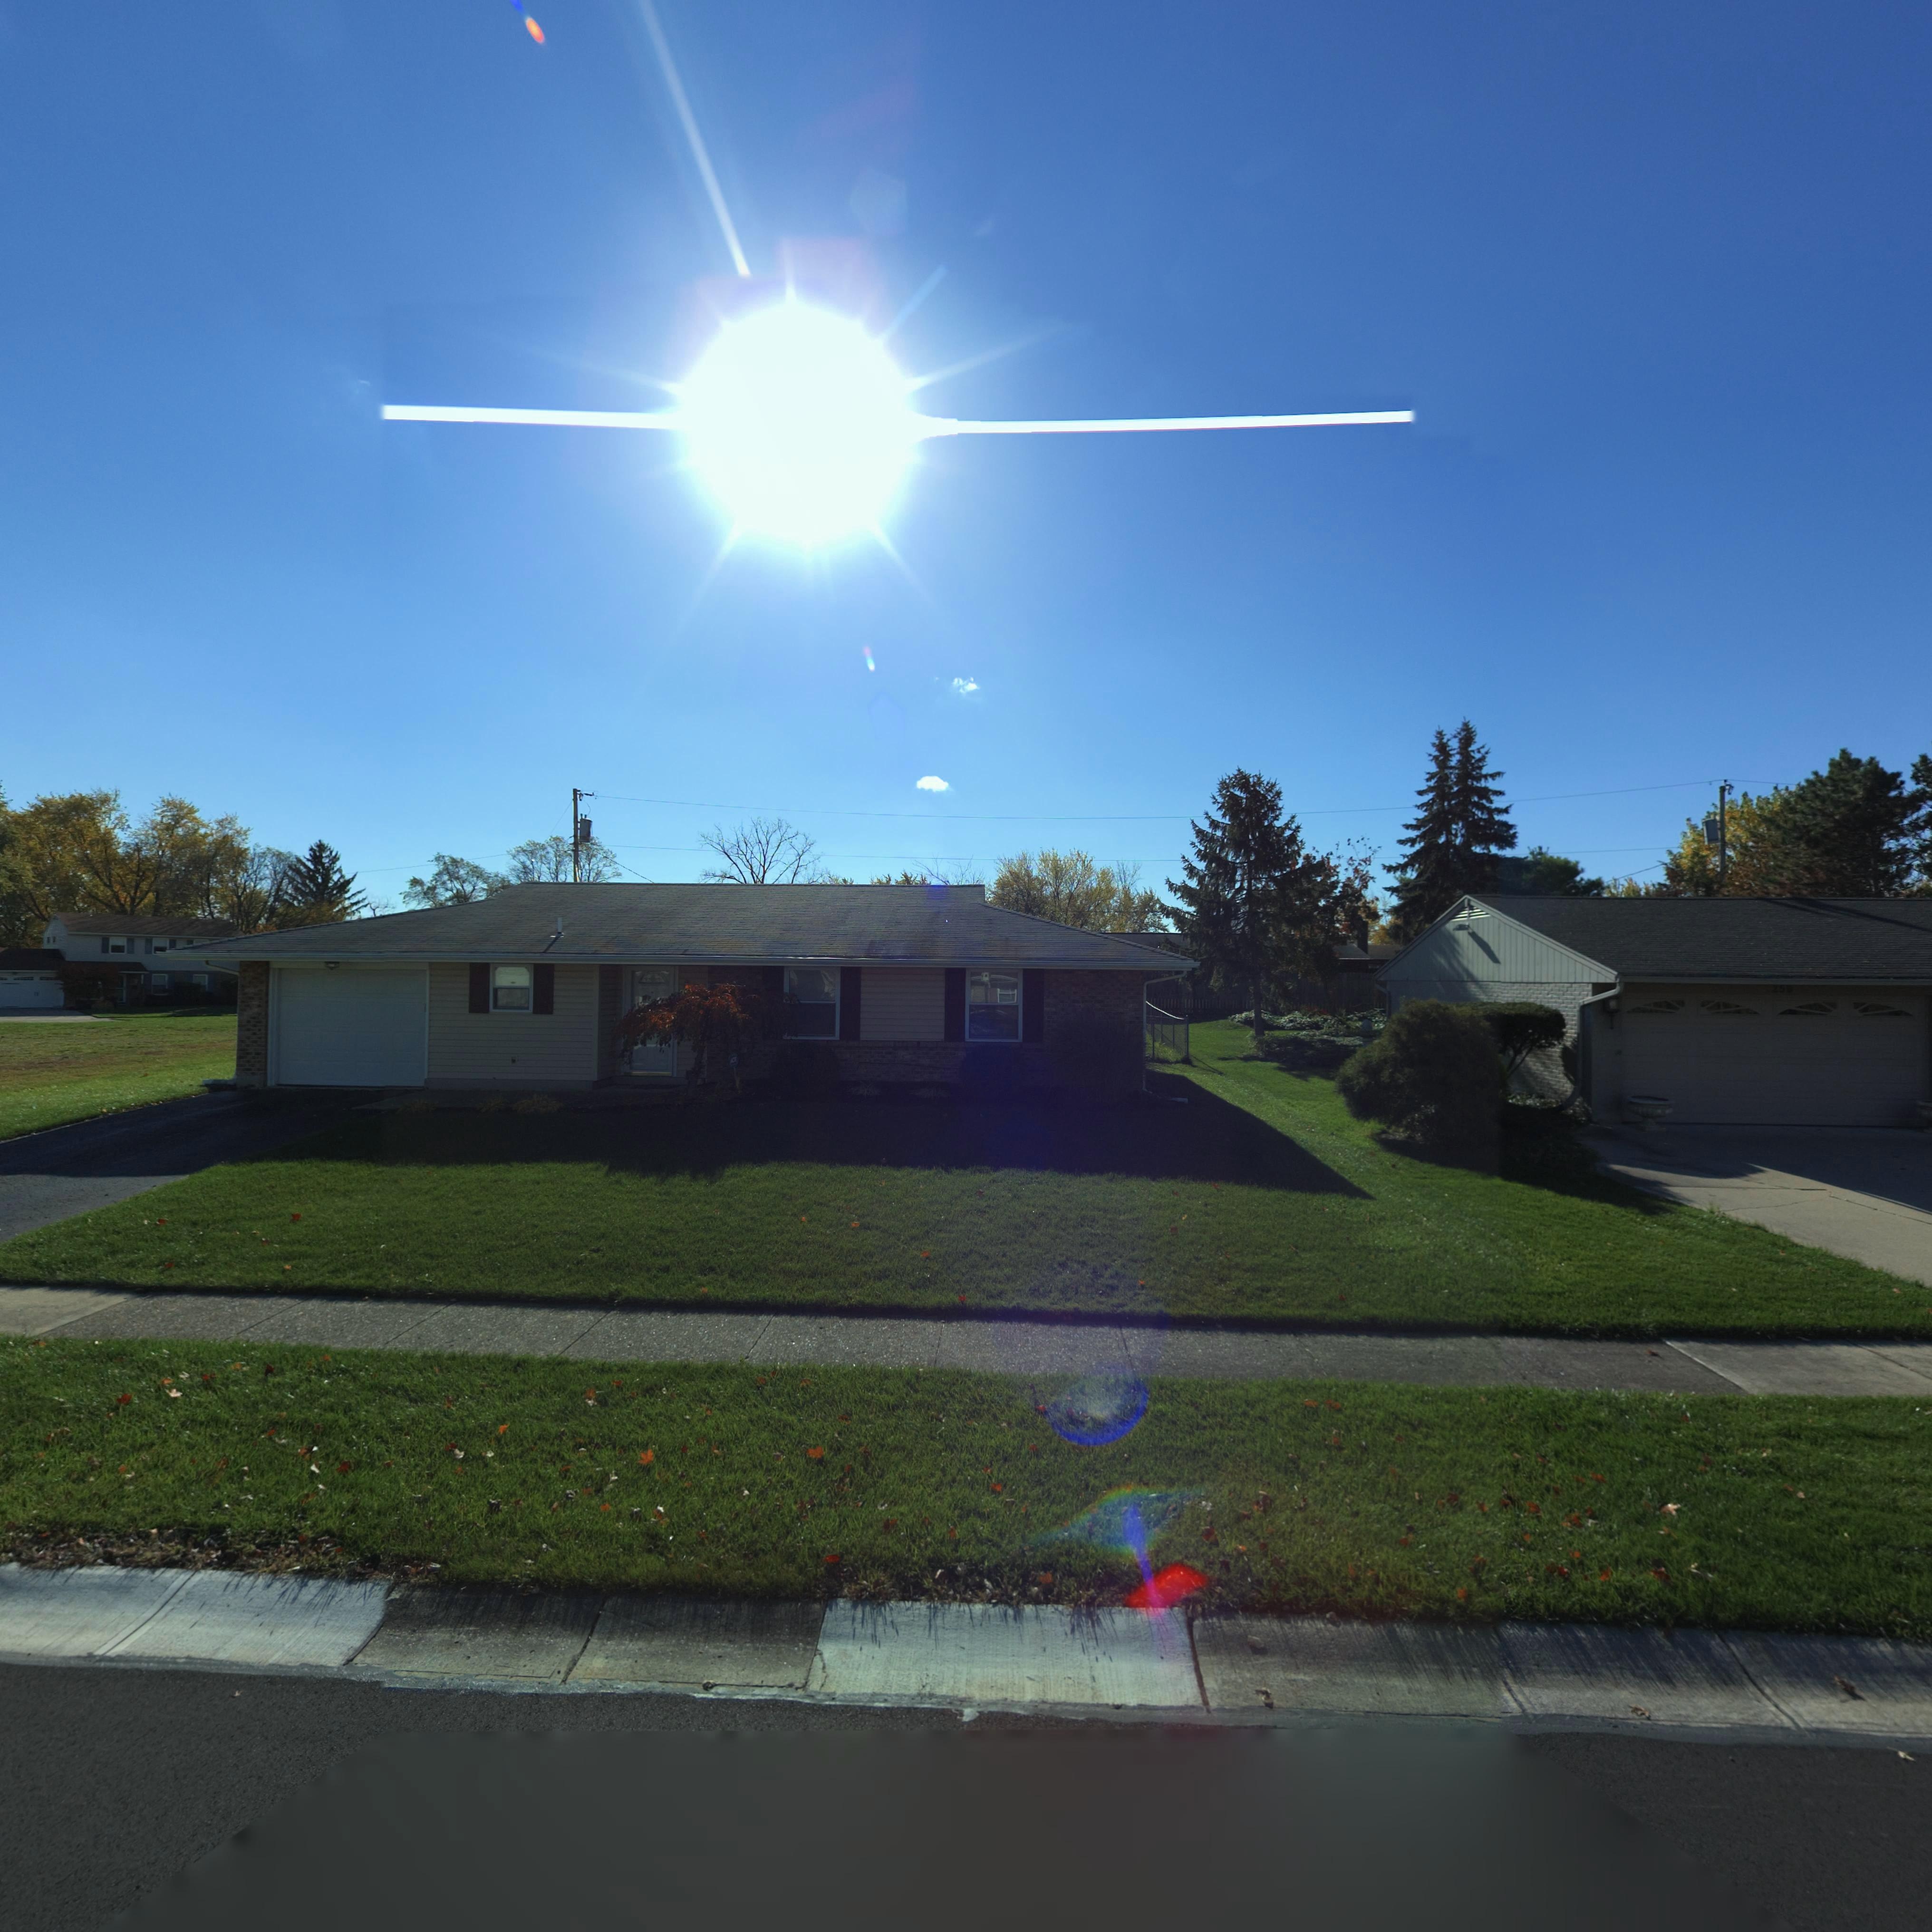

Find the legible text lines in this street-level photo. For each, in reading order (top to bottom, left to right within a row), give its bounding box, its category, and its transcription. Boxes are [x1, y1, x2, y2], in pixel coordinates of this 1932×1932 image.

[1770, 984, 1794, 995] StreetNumber: 25*